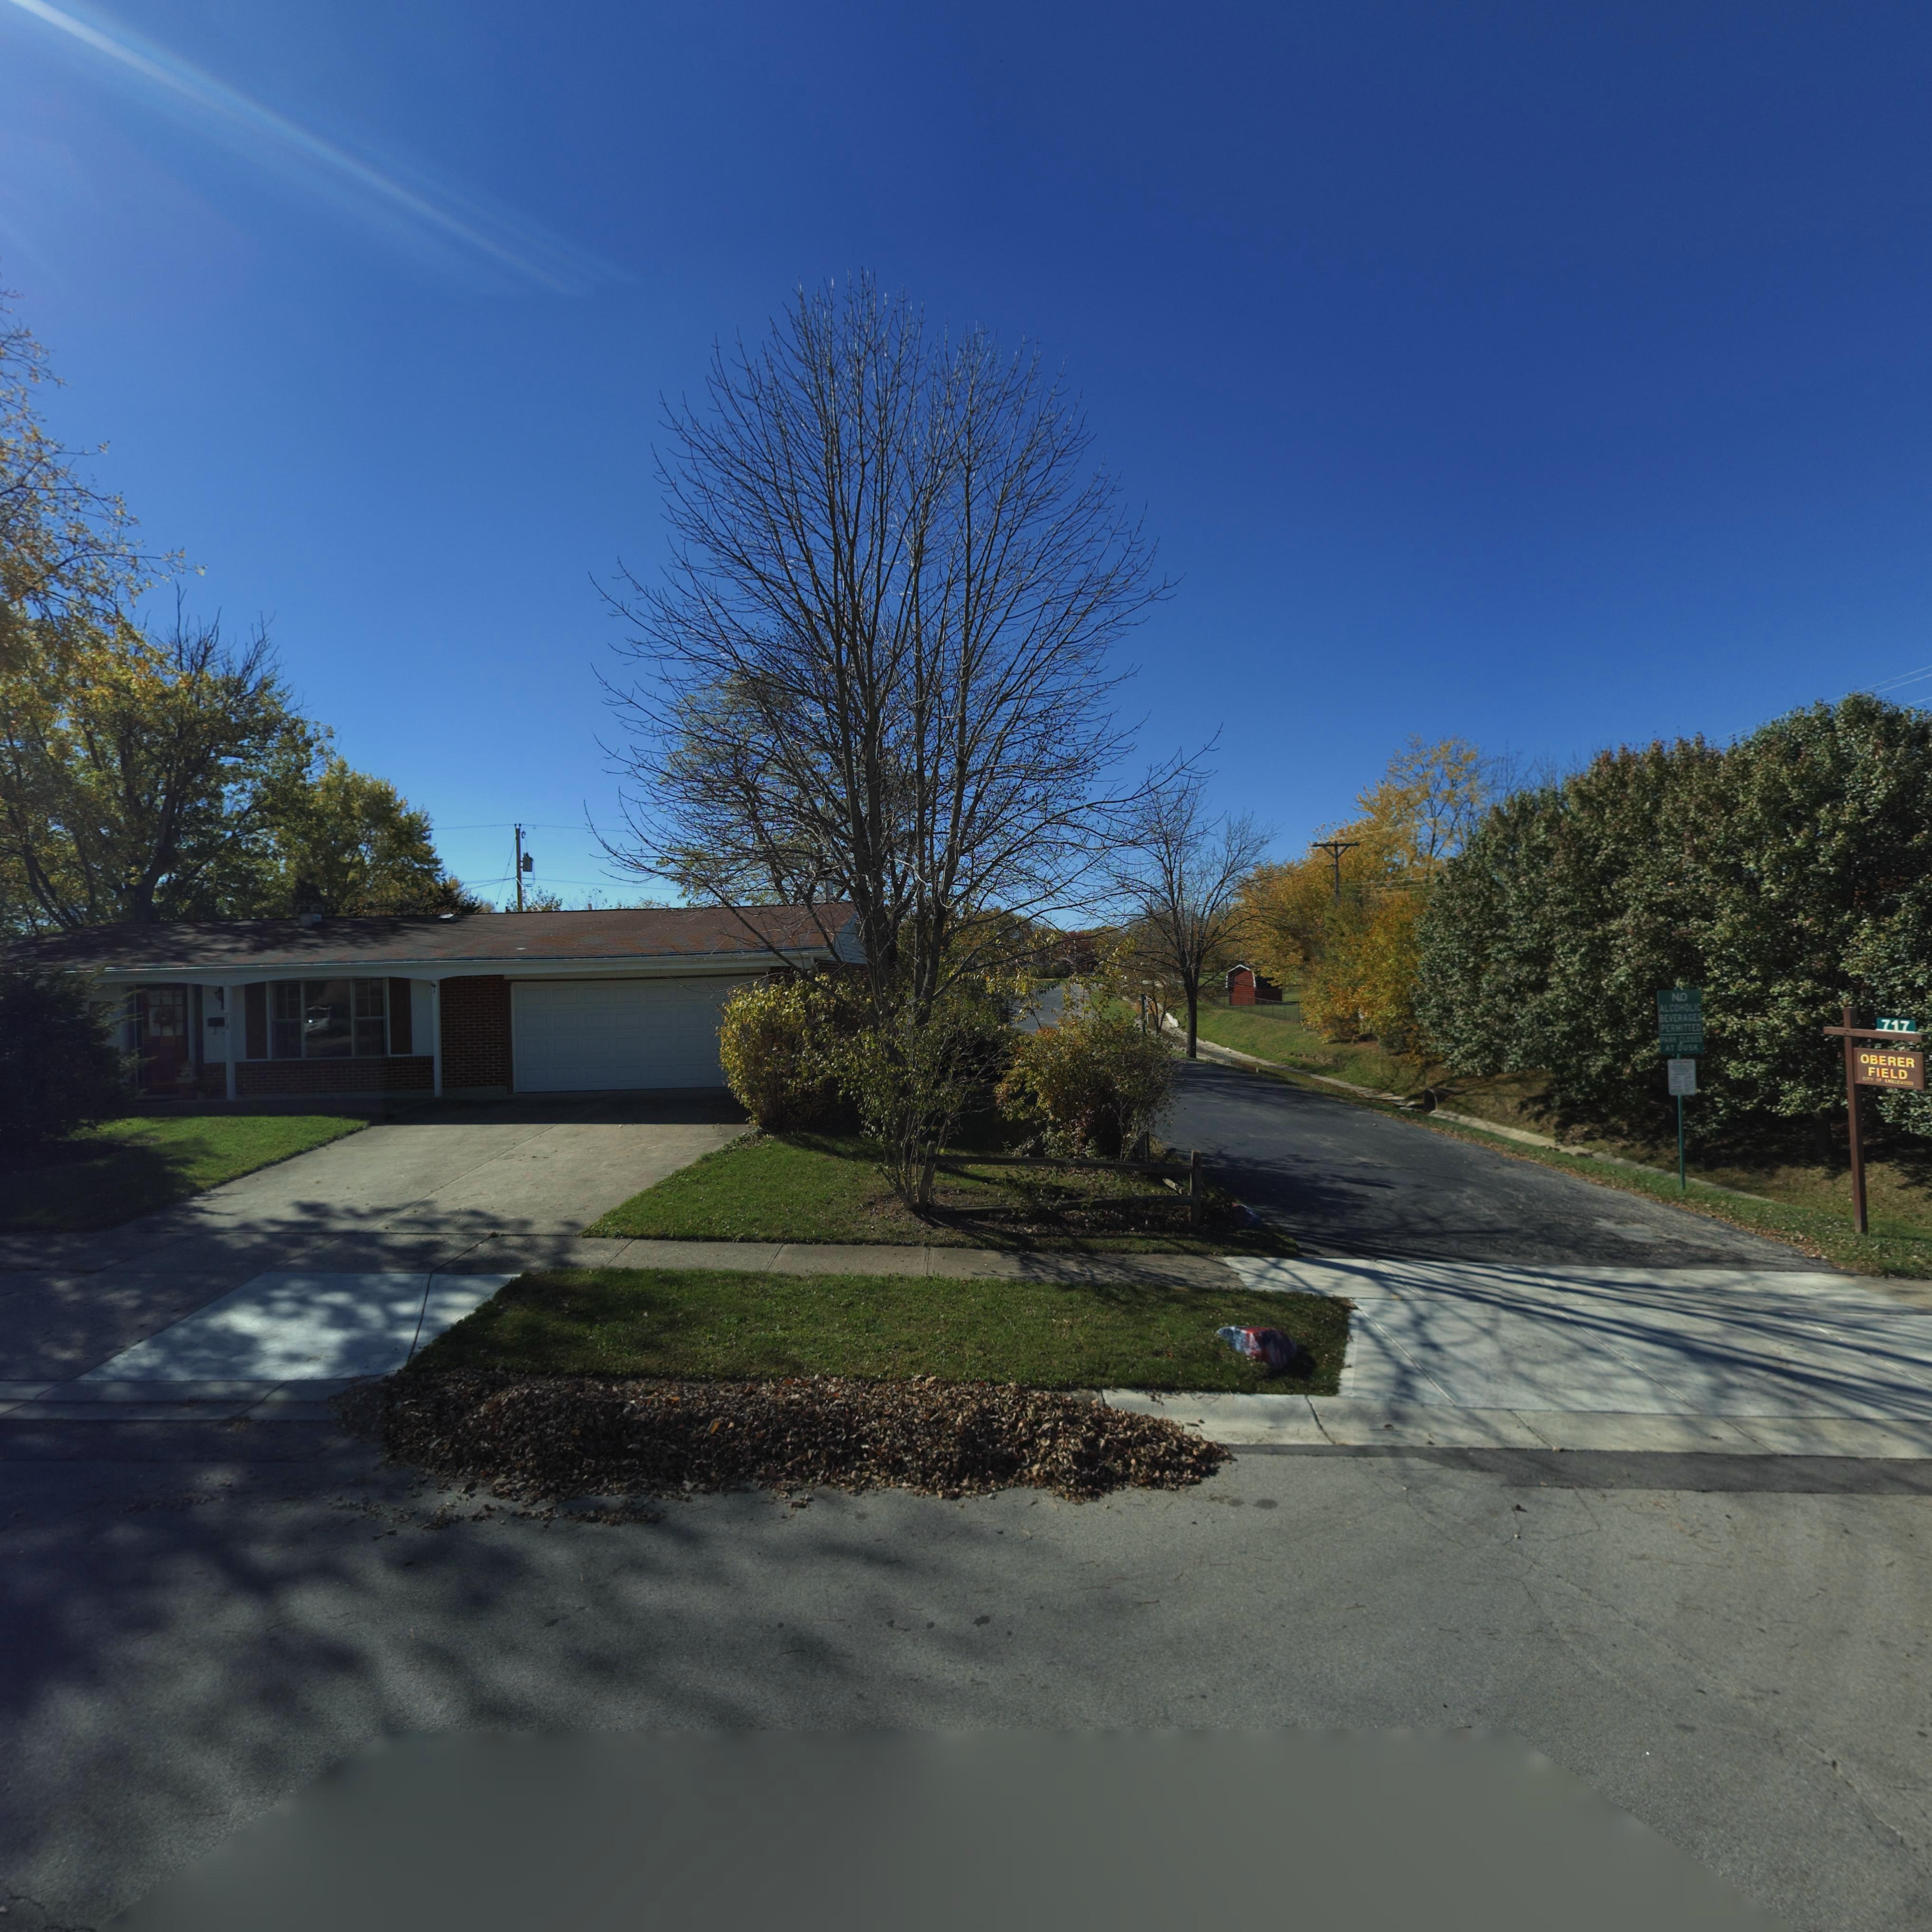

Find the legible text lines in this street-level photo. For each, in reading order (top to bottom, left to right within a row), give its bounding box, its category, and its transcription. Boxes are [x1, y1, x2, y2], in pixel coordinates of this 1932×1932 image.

[1671, 992, 1688, 1003] None: NO
[1658, 1003, 1703, 1013] None: ALCOHOLIC
[223, 1011, 231, 1032] StreetNumber: 7**
[1658, 1013, 1703, 1023] None: BEVERAGES
[1659, 1023, 1702, 1034] None: PERMITTED
[1880, 1018, 1911, 1033] StreetNumber: 717
[1659, 1034, 1703, 1044] None: PARK CLOSES
[1663, 1043, 1700, 1052] None: AT DUSK
[1859, 1053, 1916, 1069] None: OBERER
[1866, 1066, 1909, 1081] None: FIELD